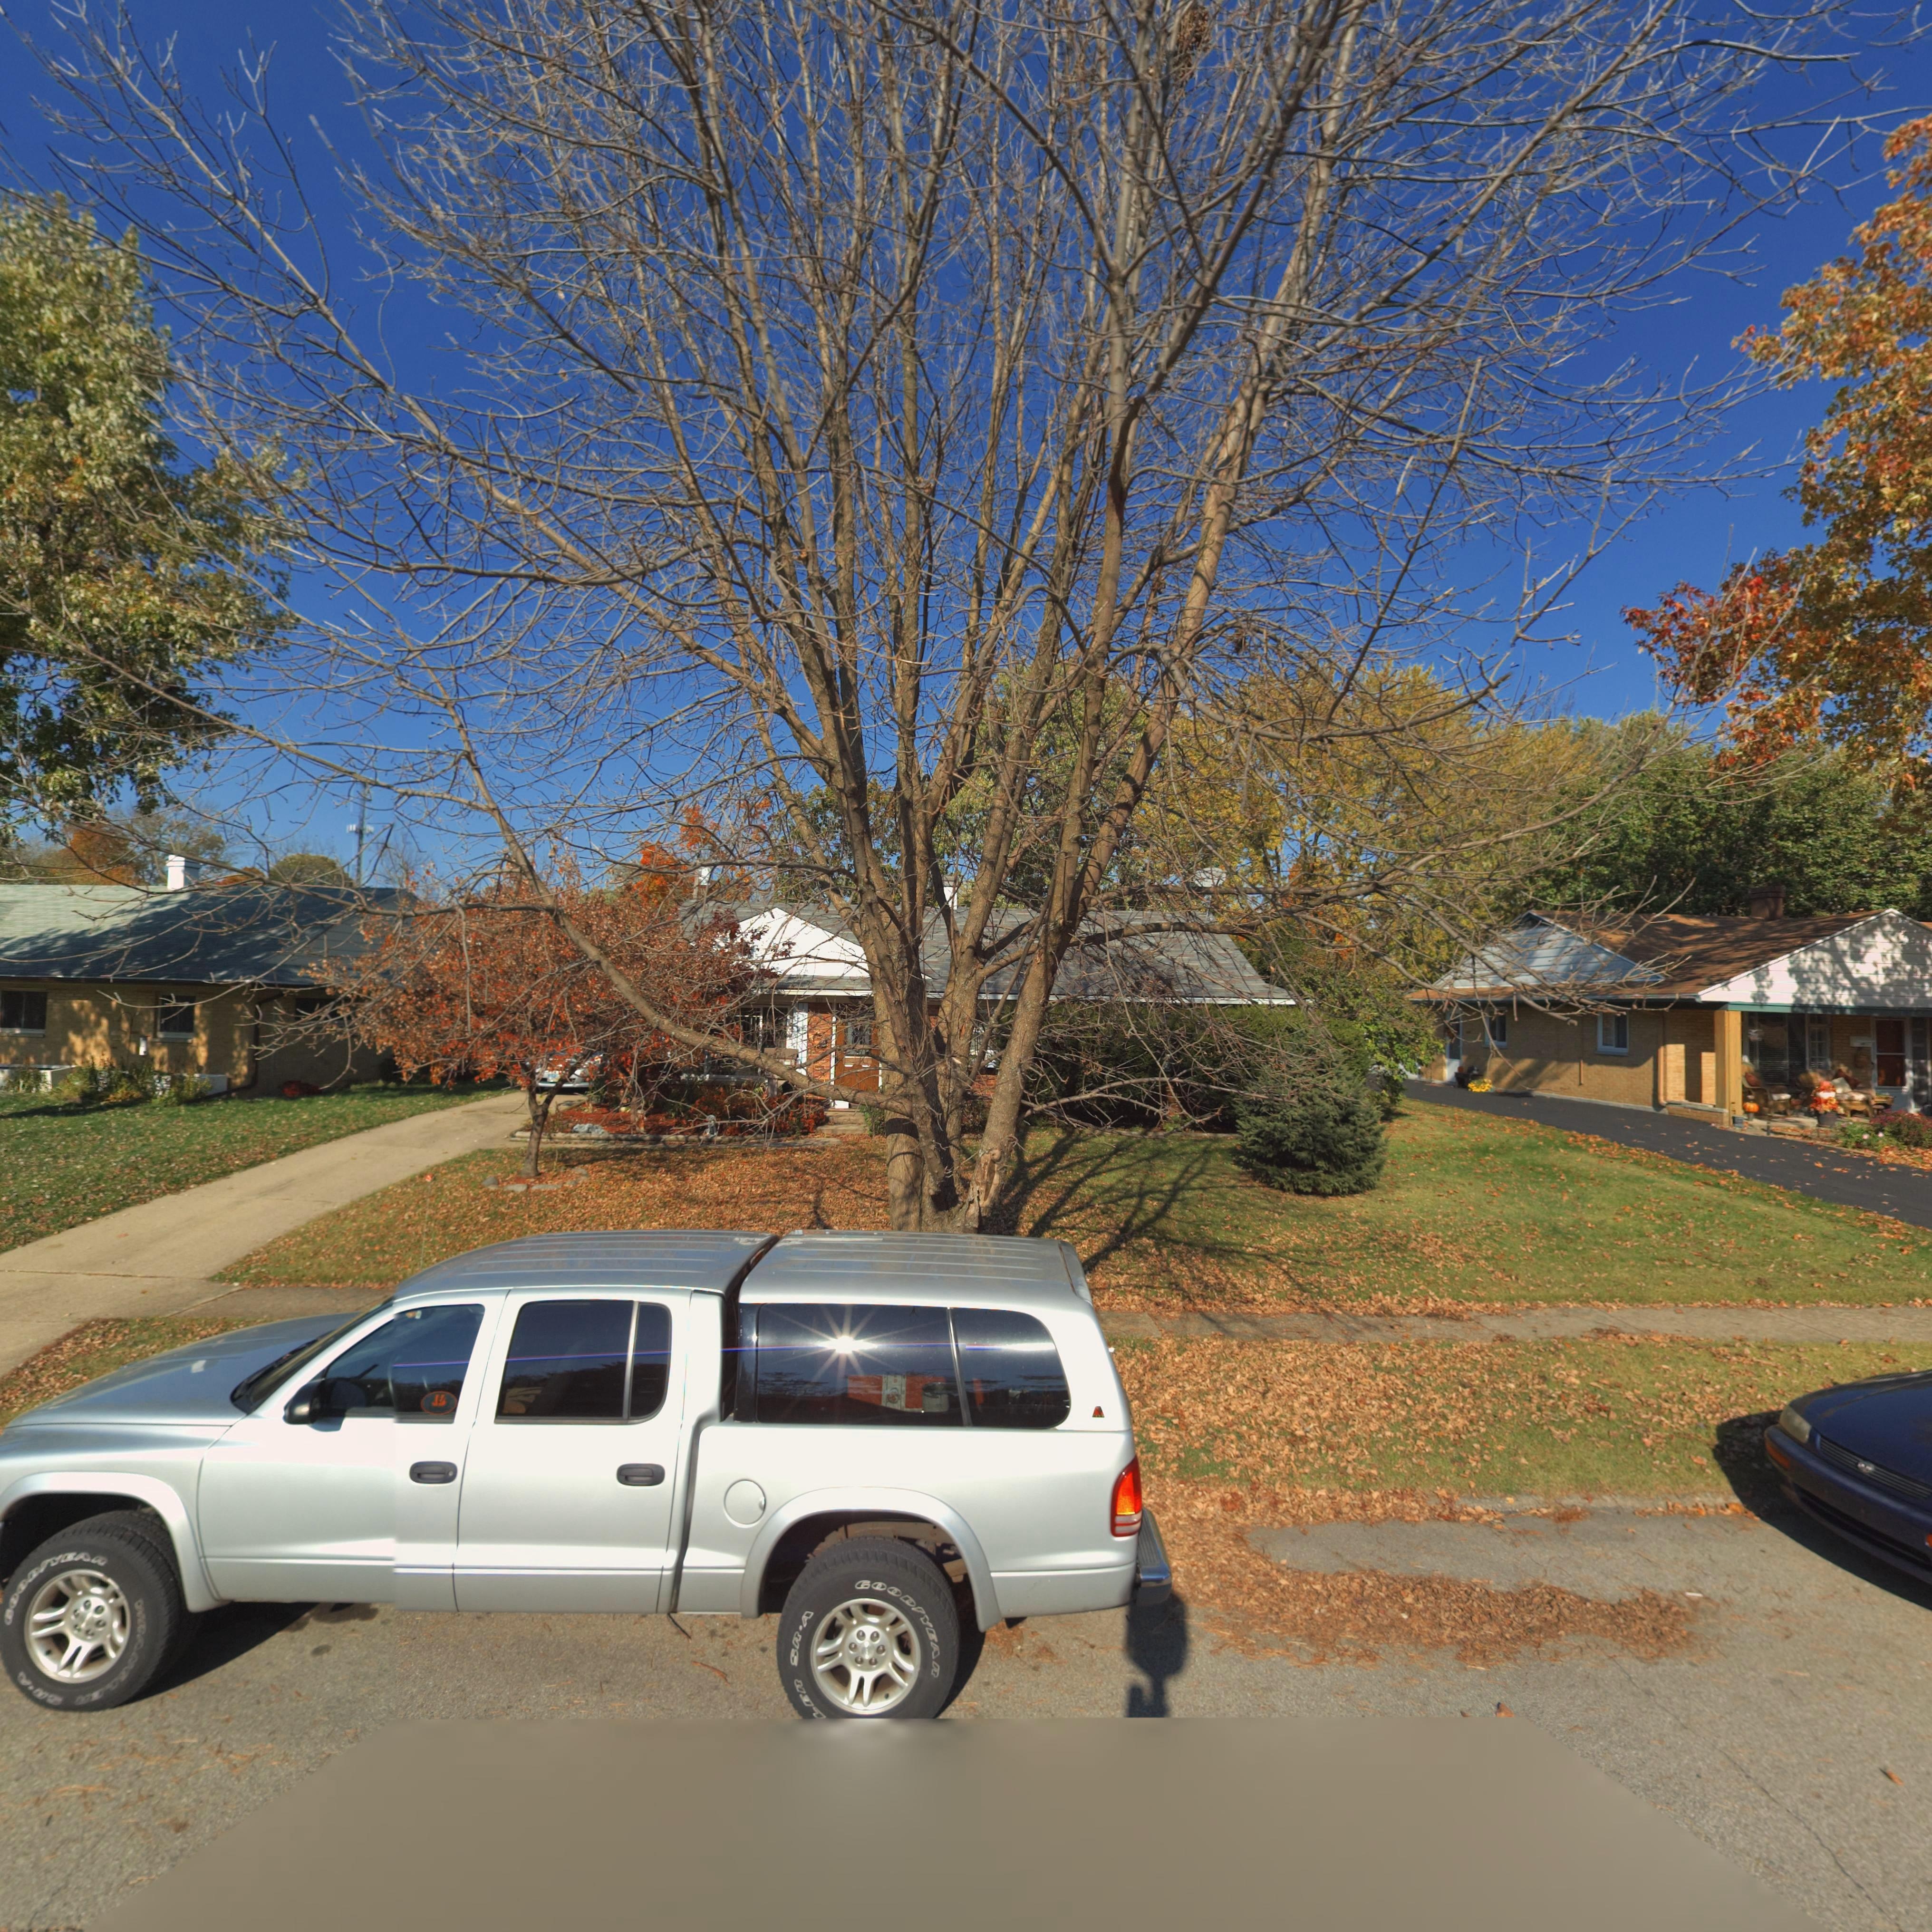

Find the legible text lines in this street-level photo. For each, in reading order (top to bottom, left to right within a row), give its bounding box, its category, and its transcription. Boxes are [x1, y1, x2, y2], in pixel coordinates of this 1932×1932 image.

[3, 1551, 112, 1627] None: GOOD*YEAR
[788, 1609, 828, 1721] None: LER SR*A
[852, 1578, 941, 1680] None: GOOD*YEAR